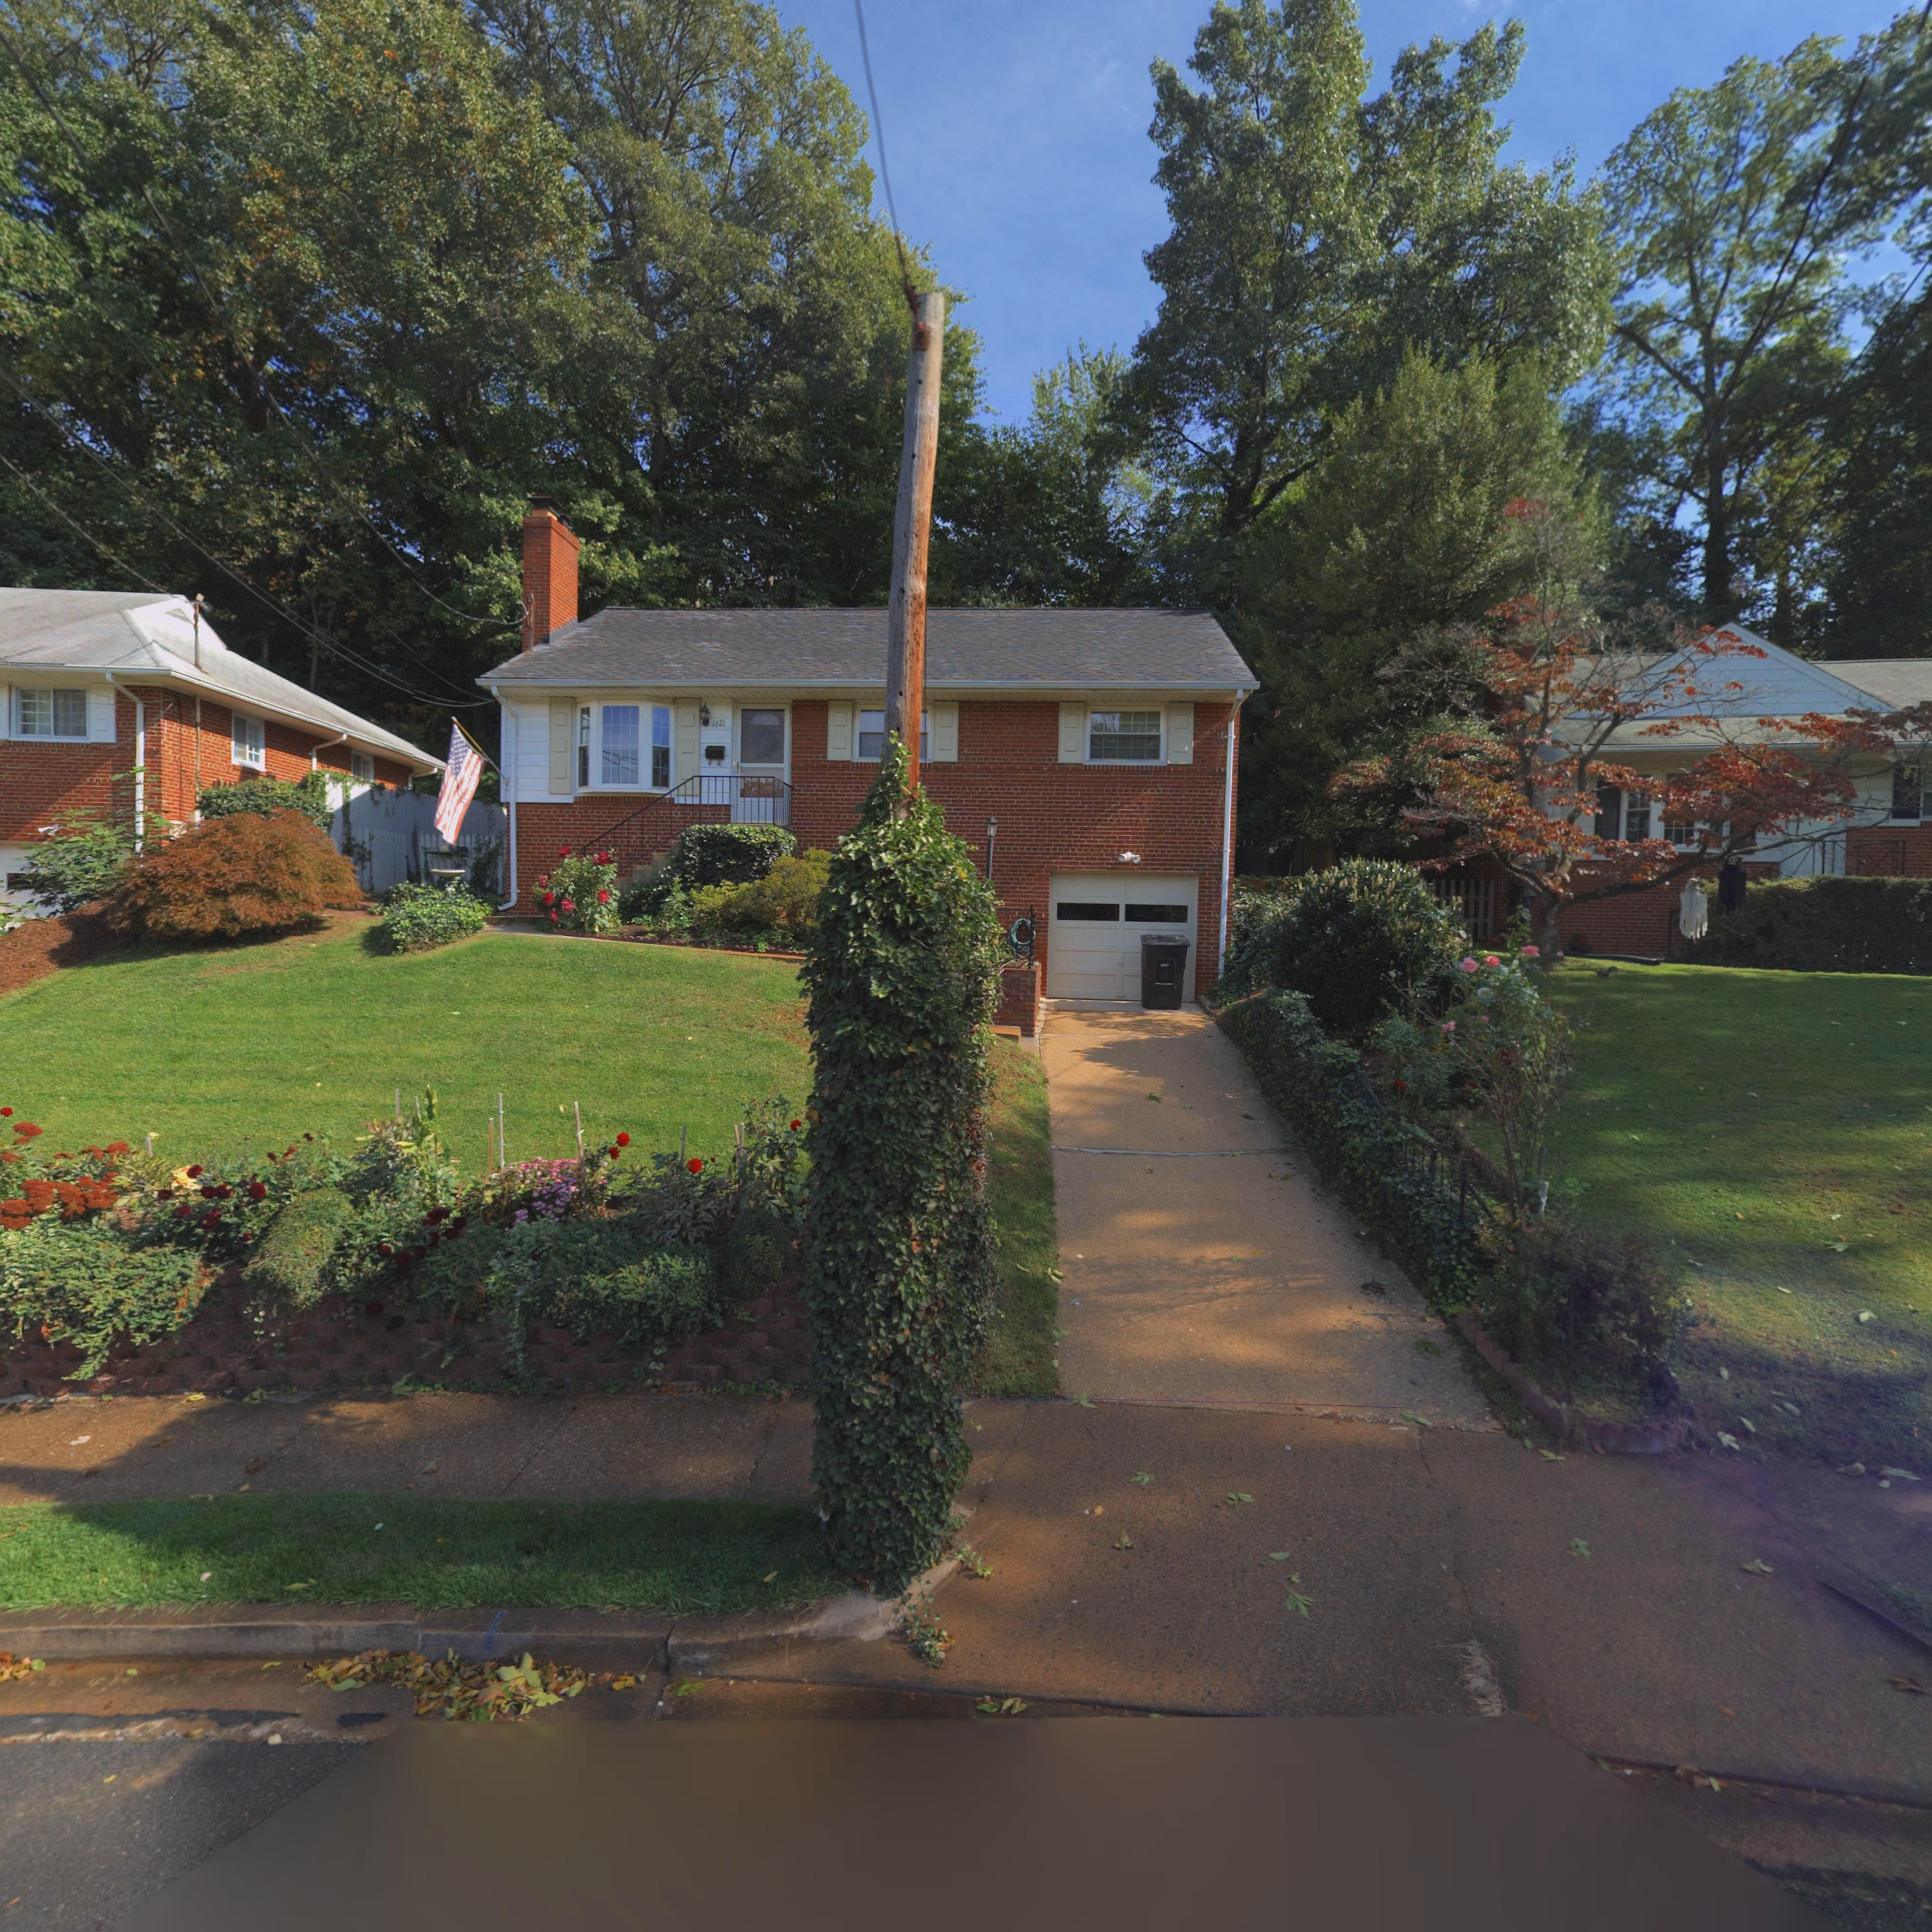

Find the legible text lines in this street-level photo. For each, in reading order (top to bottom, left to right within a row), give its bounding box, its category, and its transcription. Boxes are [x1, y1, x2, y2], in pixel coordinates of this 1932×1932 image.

[712, 719, 725, 727] StreetNumber: 1821